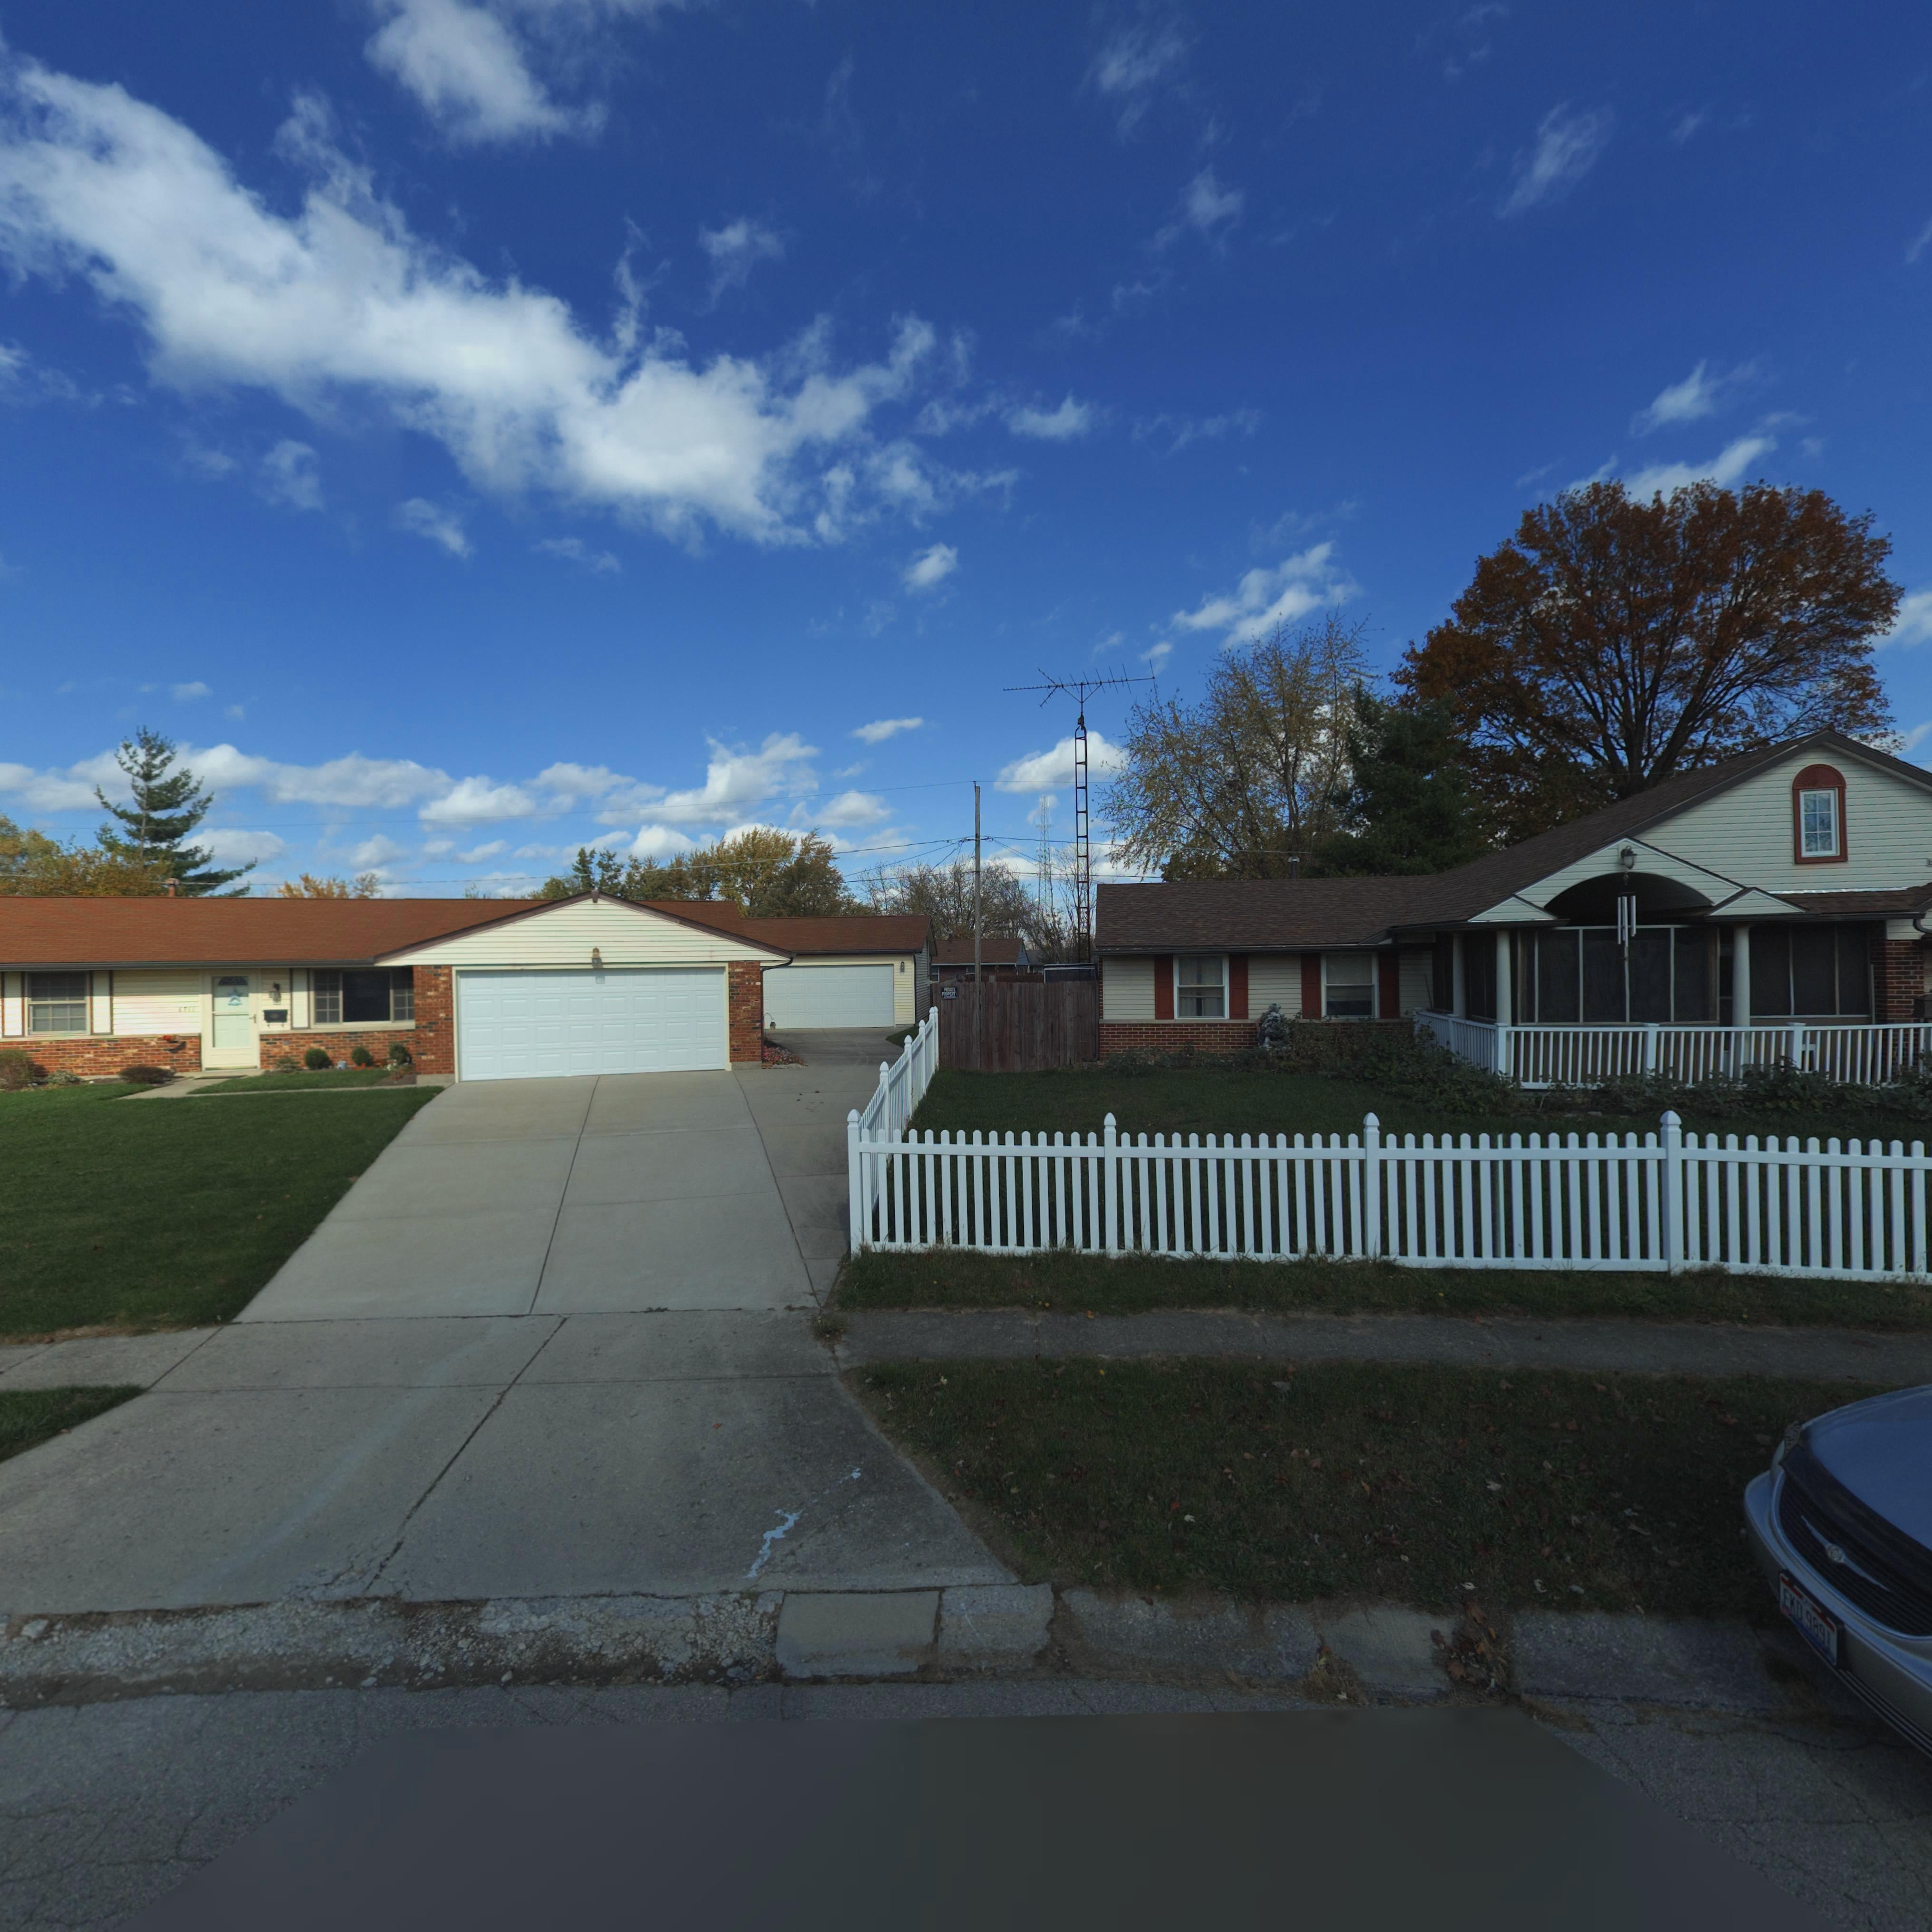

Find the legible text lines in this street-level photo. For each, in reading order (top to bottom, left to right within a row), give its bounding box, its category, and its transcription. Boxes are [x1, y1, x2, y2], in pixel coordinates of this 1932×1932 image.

[178, 1006, 196, 1013] StreetNumber: 67**